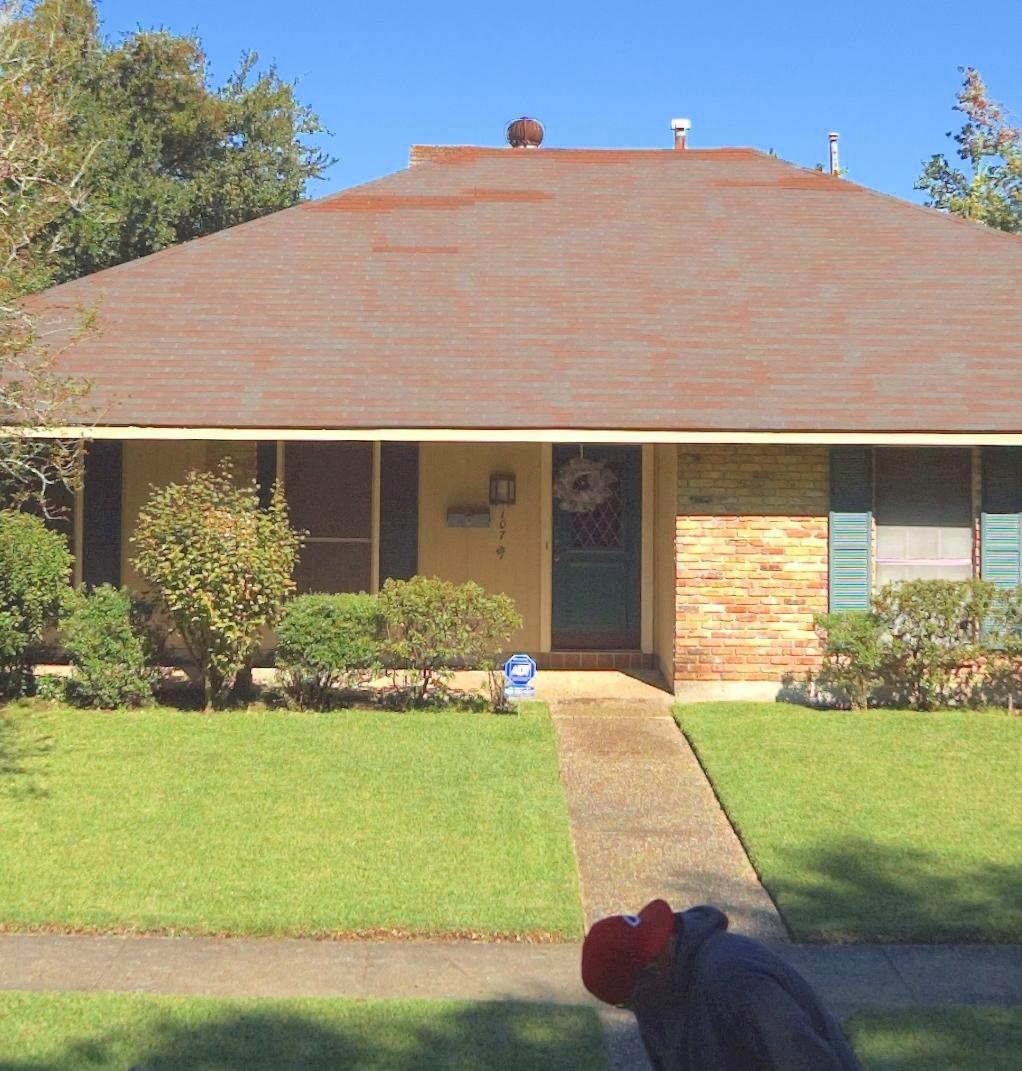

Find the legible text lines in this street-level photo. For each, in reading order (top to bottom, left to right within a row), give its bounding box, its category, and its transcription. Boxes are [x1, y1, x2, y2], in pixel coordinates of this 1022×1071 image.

[495, 509, 508, 563] StreetNumber: 107*
[508, 662, 532, 678] None: ADT